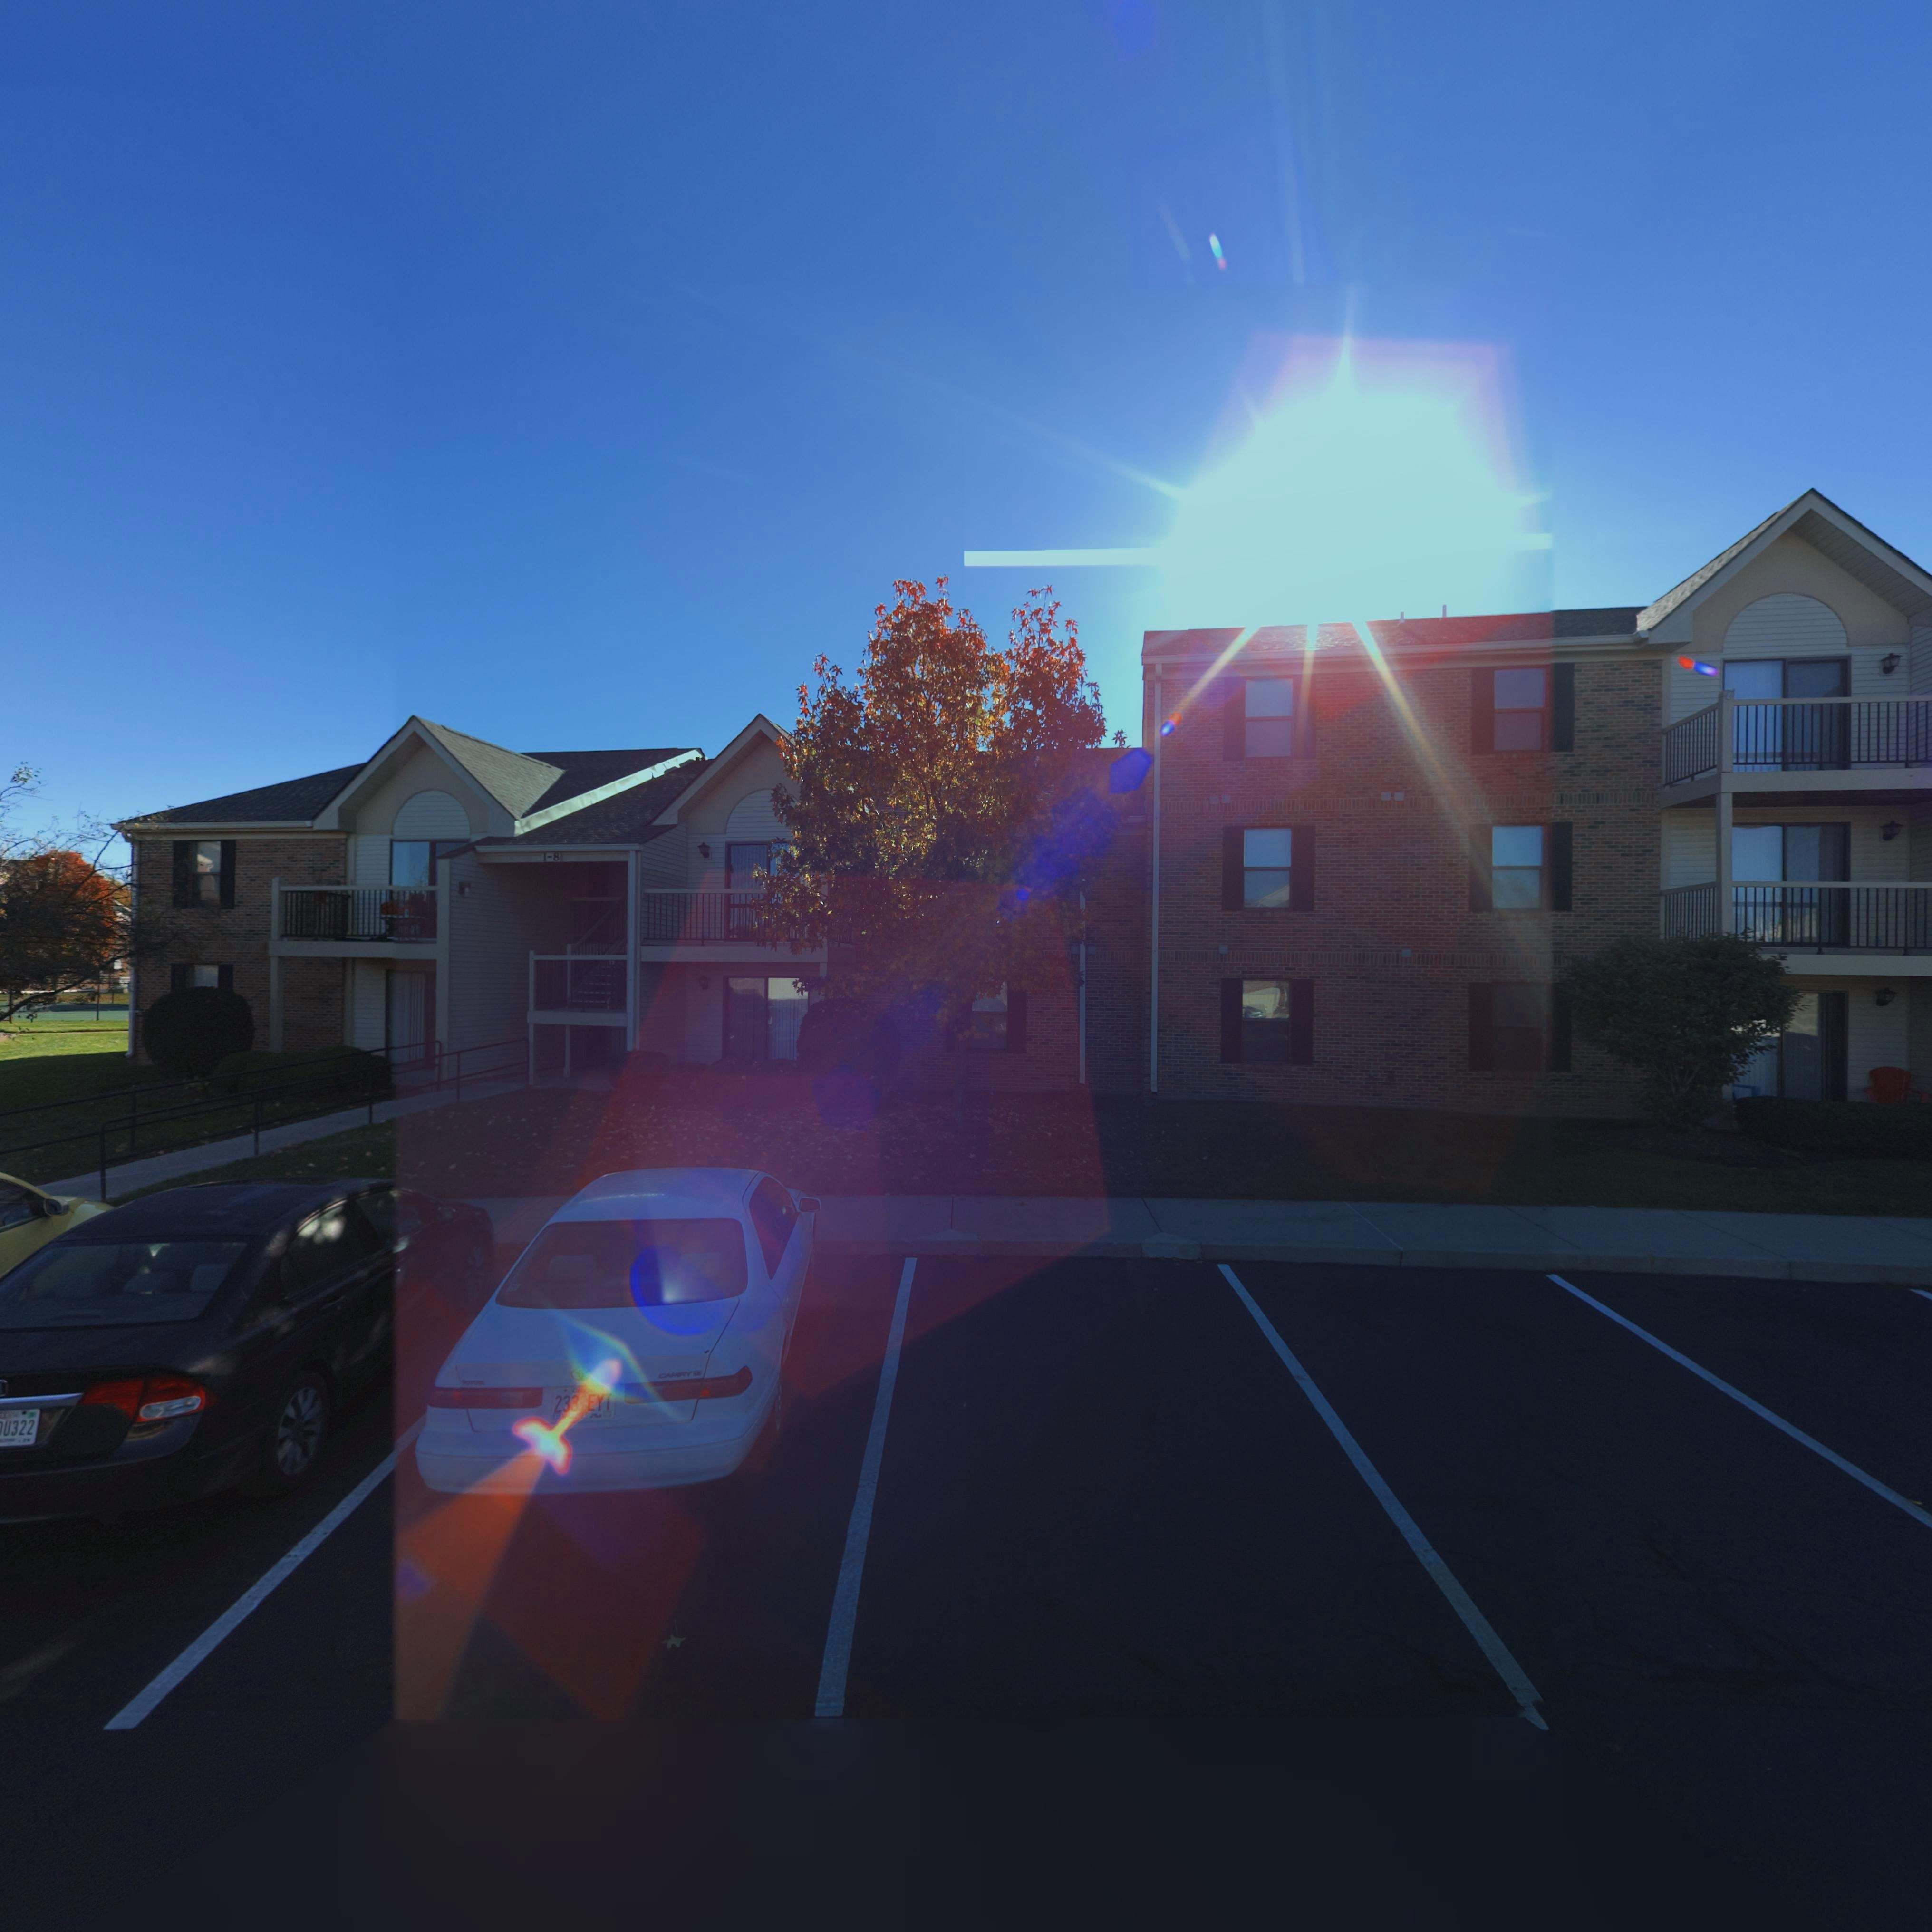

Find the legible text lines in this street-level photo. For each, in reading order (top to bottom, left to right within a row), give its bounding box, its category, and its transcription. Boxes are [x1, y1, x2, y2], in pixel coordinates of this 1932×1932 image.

[541, 851, 559, 861] StreetNumber: 1-8